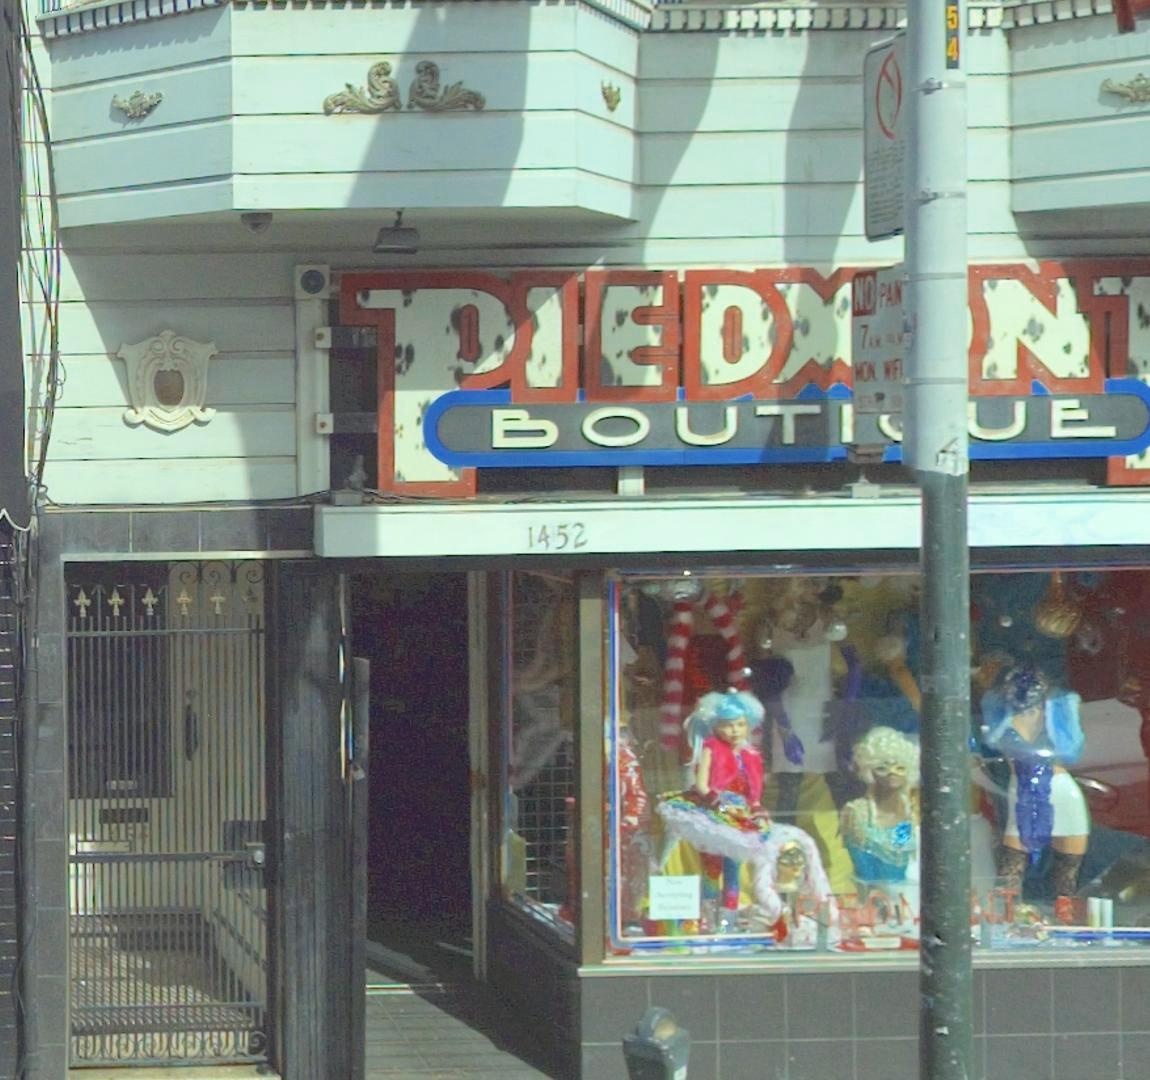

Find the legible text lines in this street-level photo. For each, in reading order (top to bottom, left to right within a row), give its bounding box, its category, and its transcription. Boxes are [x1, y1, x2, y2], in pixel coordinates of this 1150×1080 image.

[943, 1, 962, 66] None: 54
[852, 271, 897, 316] None: NO PA
[857, 319, 873, 354] None: 7
[975, 270, 1099, 386] BusinessName: N
[338, 268, 794, 491] BusinessName: PIED
[852, 357, 881, 386] None: MON
[487, 402, 827, 452] BusinessName: BOUT
[962, 395, 1122, 445] BusinessName: UE
[525, 520, 590, 552] StreetNumber: 1452